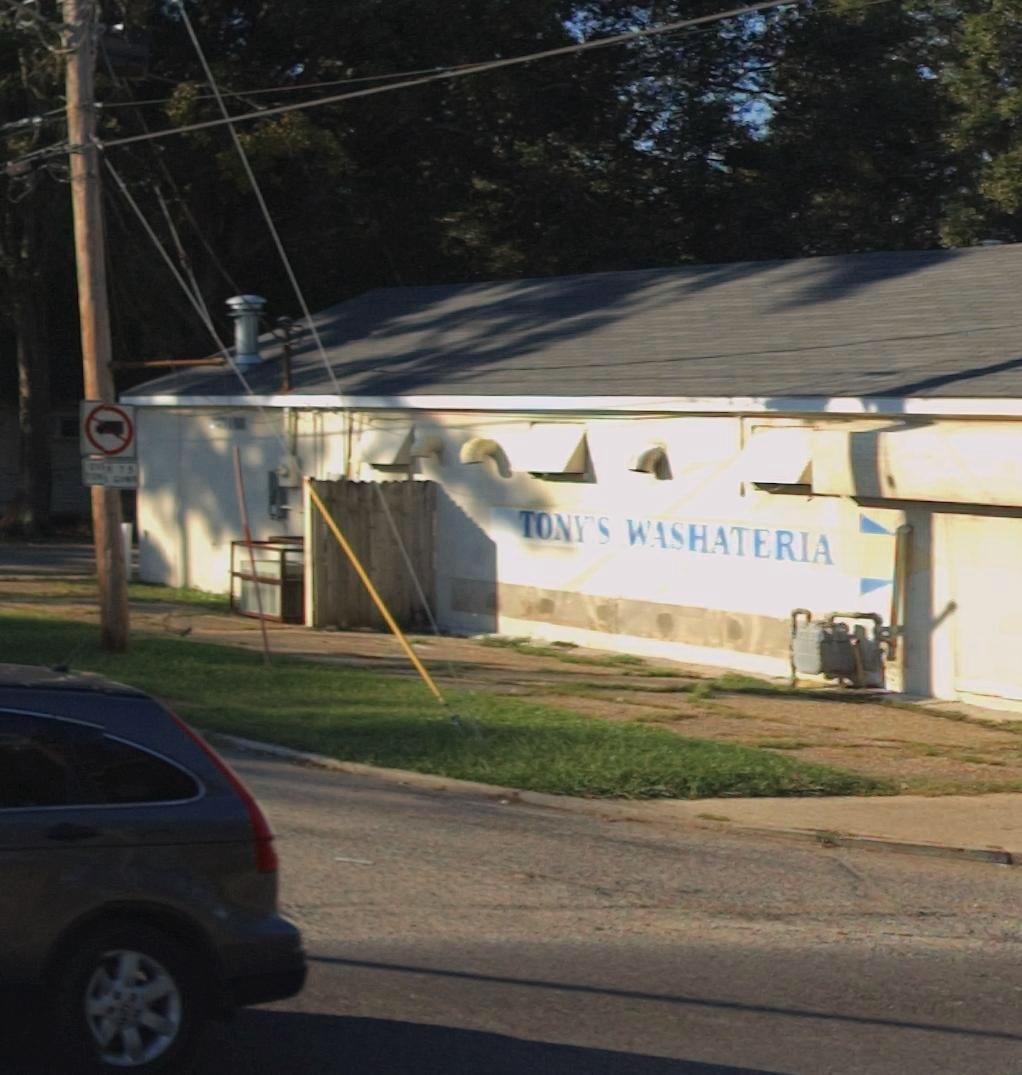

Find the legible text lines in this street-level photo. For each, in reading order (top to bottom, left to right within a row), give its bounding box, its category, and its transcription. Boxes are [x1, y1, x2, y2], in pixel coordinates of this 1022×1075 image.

[515, 506, 840, 569] BusinessName: TONY'S WASHATERIA